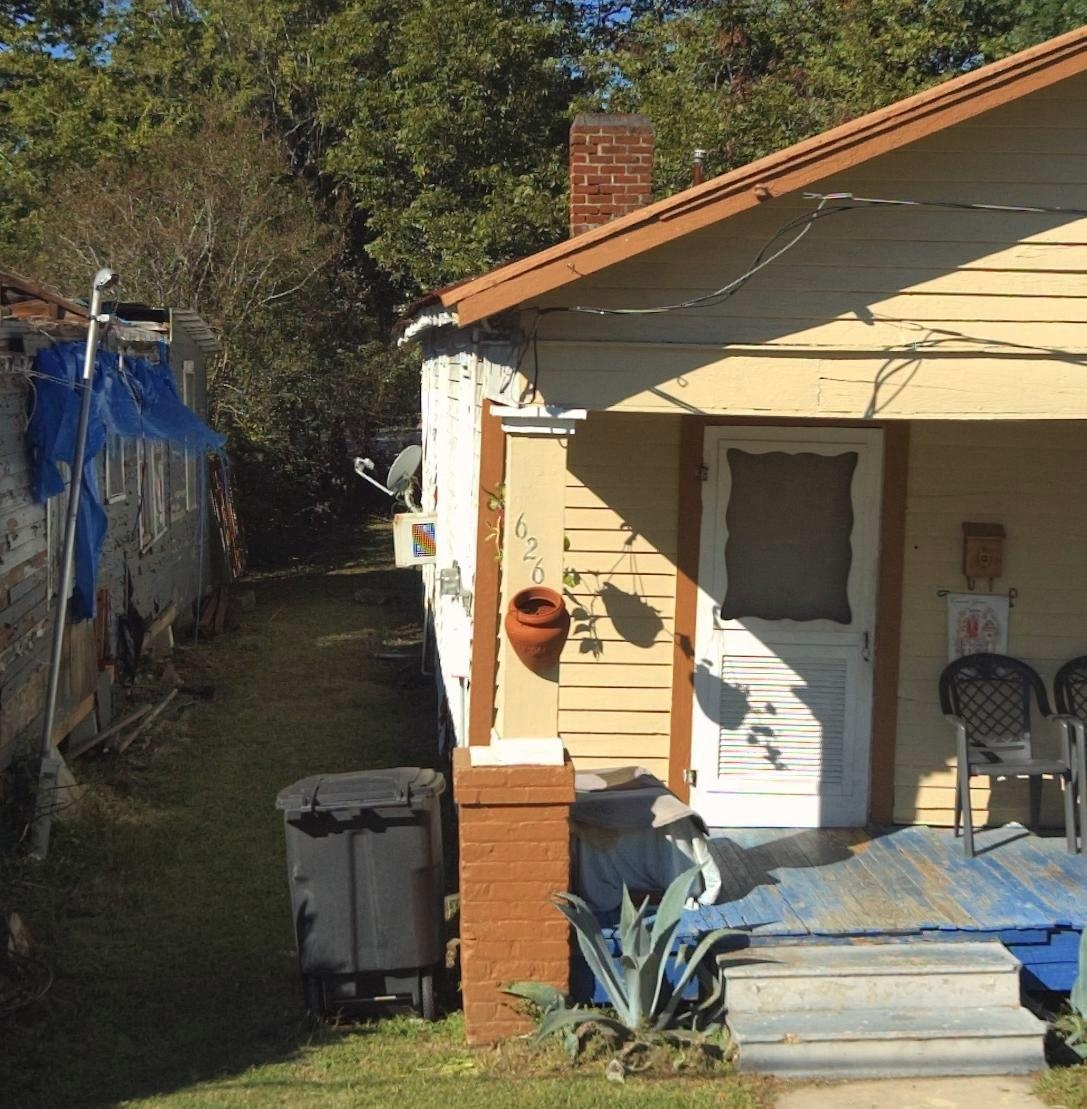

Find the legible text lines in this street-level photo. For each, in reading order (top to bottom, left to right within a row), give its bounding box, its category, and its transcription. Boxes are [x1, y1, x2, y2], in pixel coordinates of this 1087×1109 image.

[512, 509, 547, 586] StreetNumber: 626